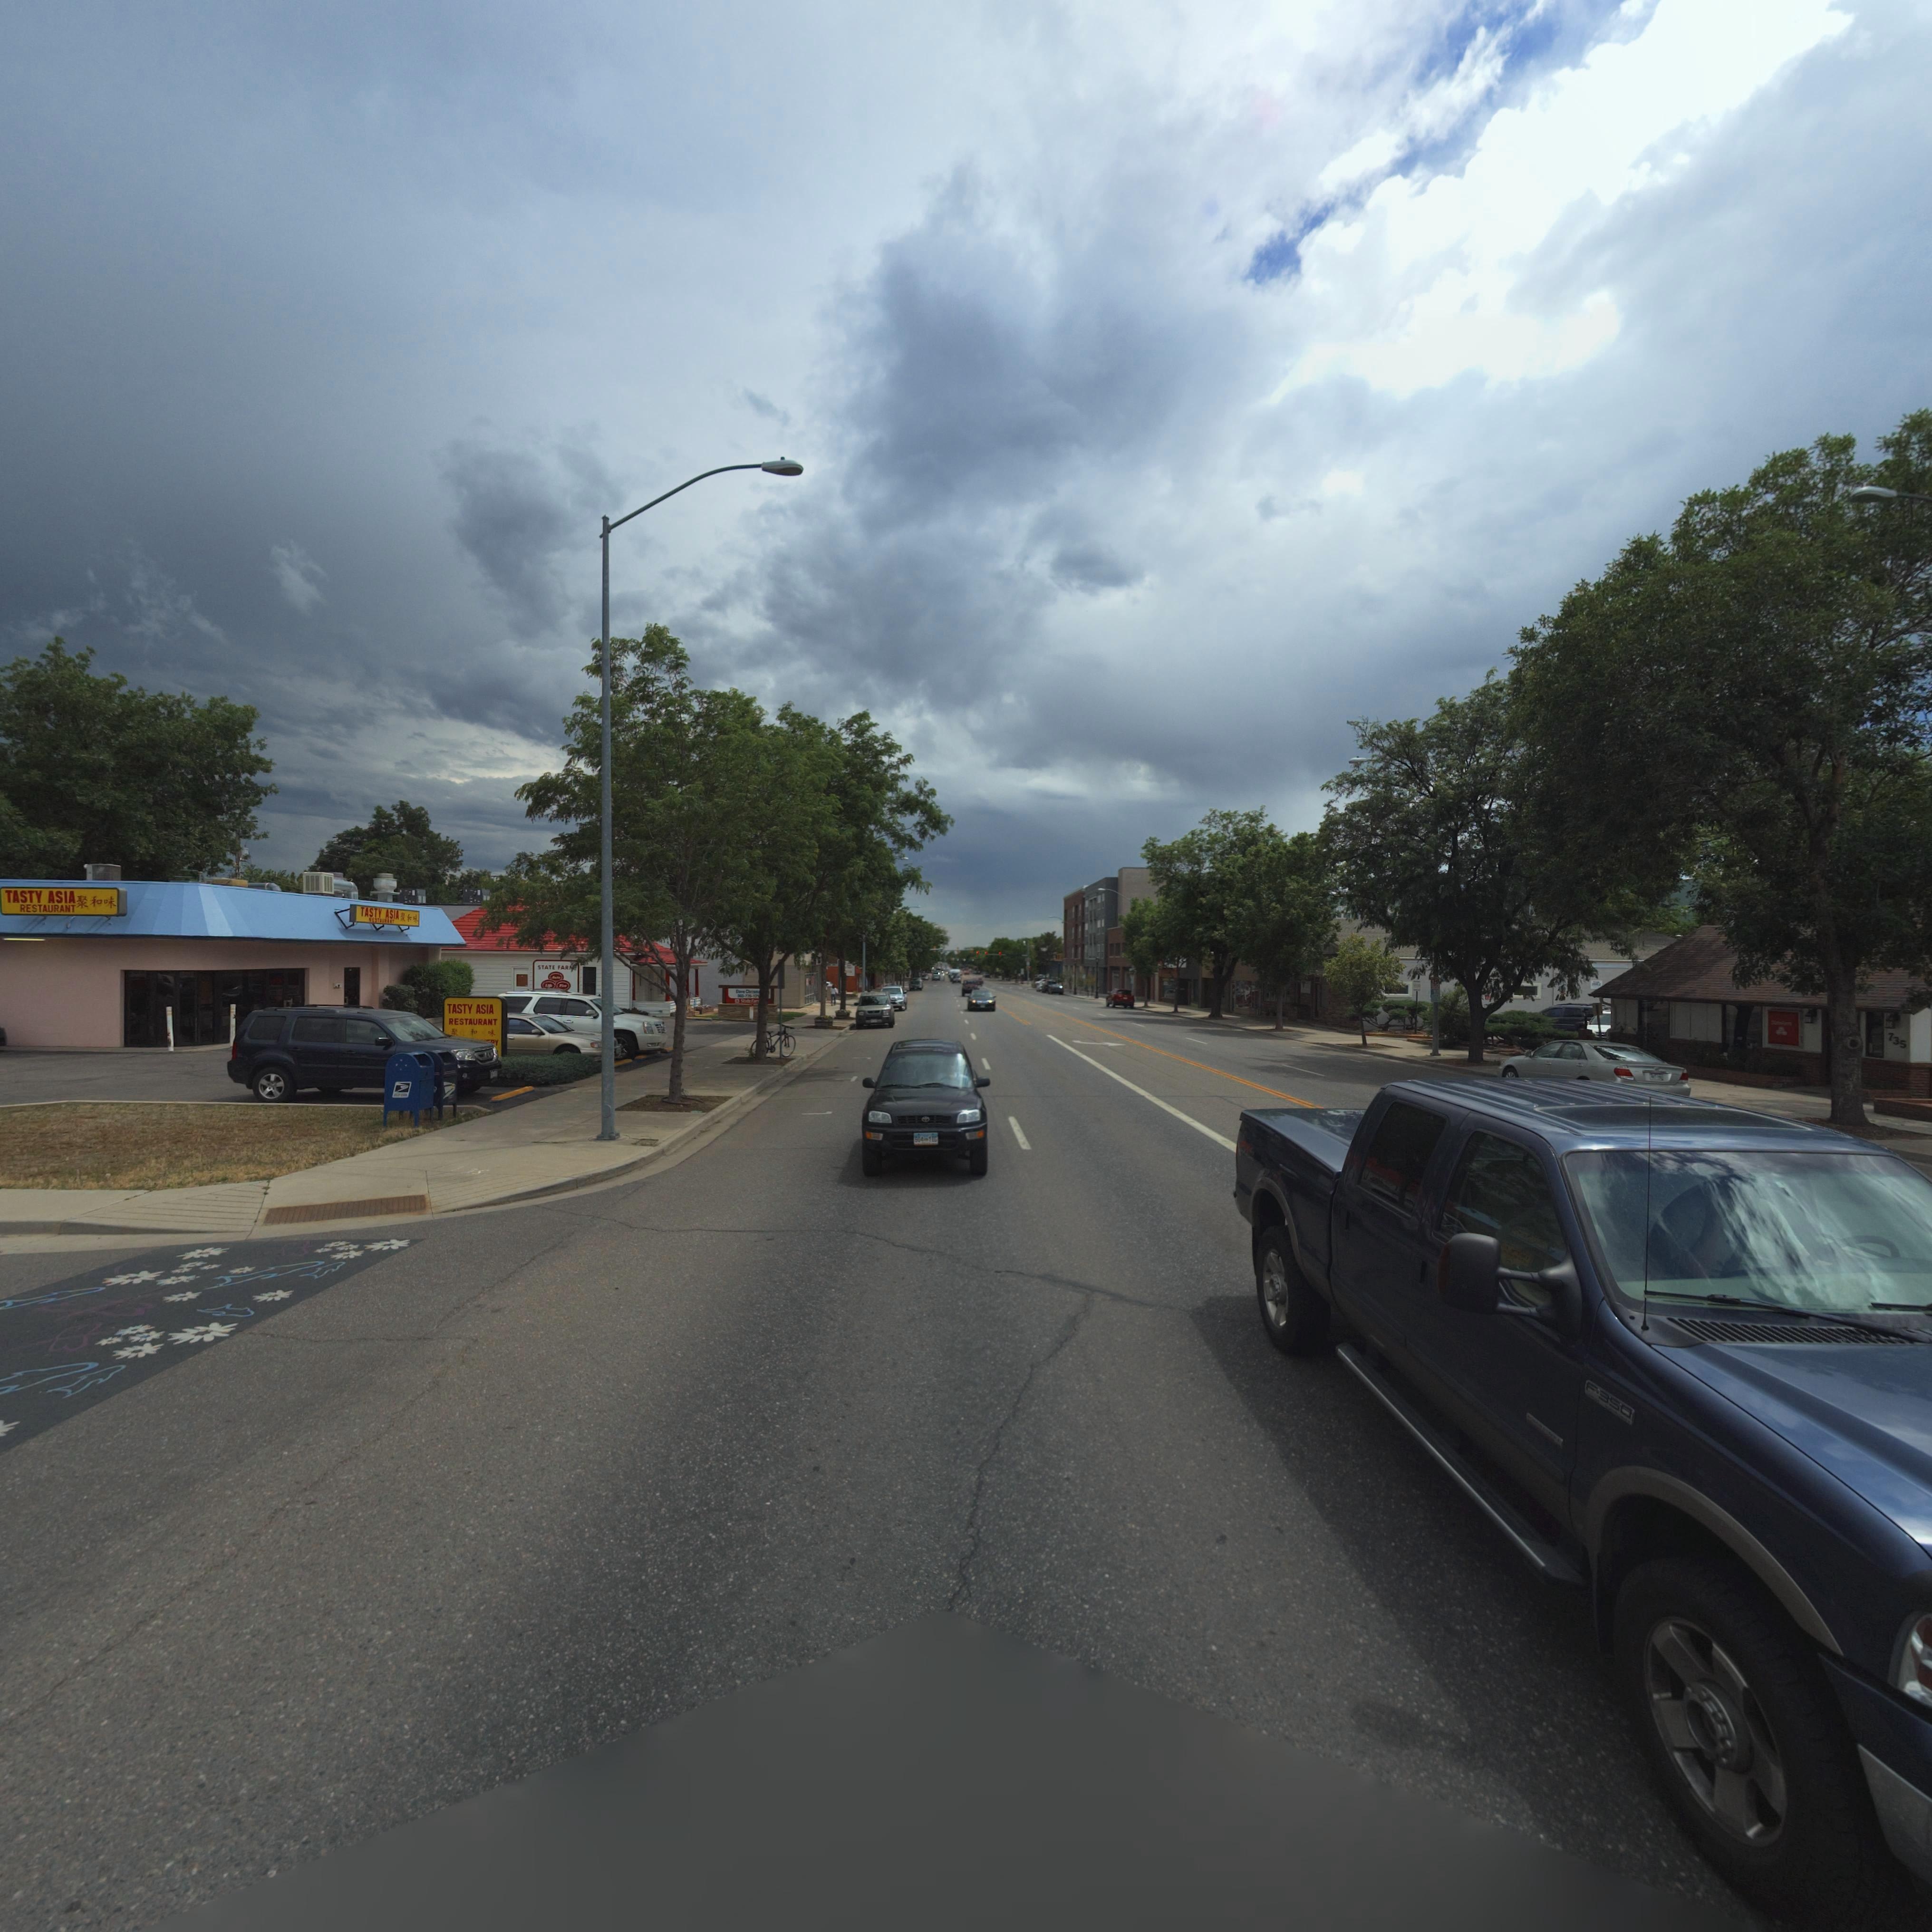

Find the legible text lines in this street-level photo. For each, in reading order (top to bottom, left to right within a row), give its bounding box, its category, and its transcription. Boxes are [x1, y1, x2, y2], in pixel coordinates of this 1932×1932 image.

[4, 889, 76, 904] BusinessName: TASTY ASIA
[19, 904, 76, 912] BusinessName: RESTAURANT
[360, 907, 399, 920] BusinessName: TASTY ASIA
[368, 918, 395, 924] BusinessName: RESTAURANT
[538, 965, 569, 969] BusinessName: STATE FAR
[741, 999, 759, 1003] BusinessName: StateFar*
[446, 1004, 494, 1014] BusinessName: TASTY ASIA
[448, 1018, 497, 1025] BusinessName: RESTAURANT
[1888, 1033, 1907, 1049] StreetNumber: 735